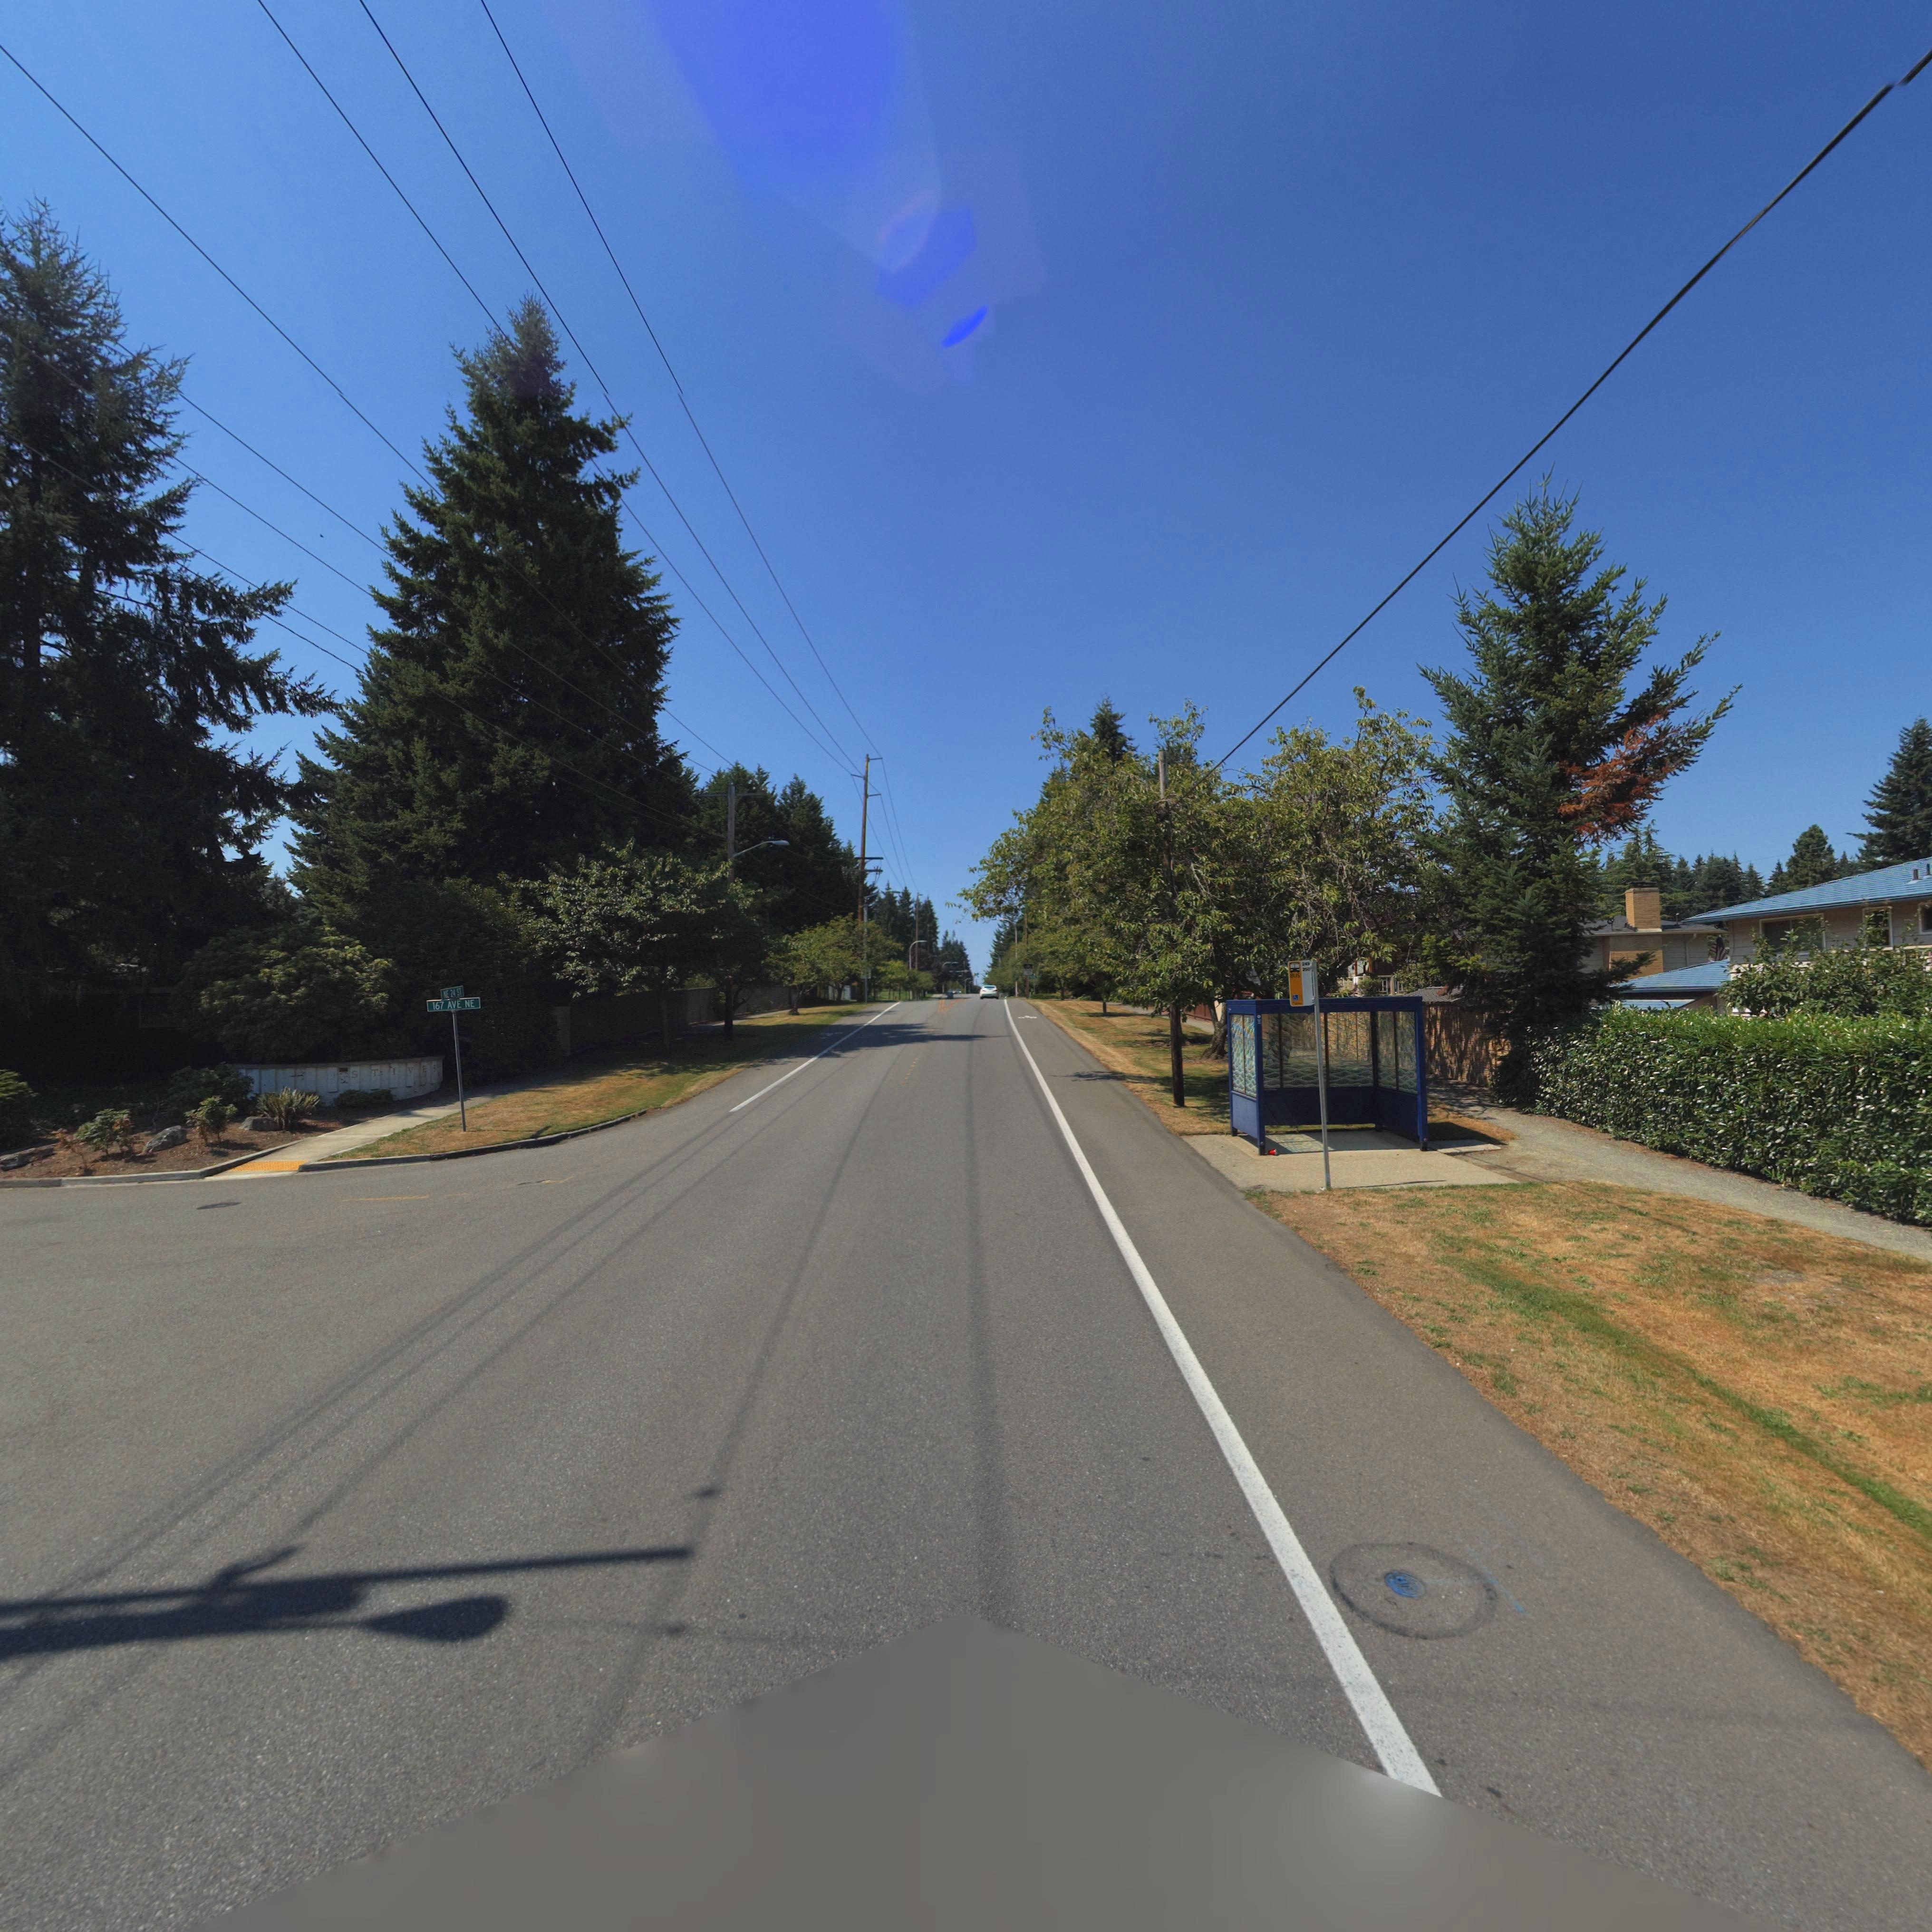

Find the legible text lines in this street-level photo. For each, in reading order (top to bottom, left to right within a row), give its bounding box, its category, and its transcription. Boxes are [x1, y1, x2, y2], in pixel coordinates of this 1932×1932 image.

[443, 987, 461, 998] StreetName: *E 24 ST
[433, 1000, 474, 1009] StreetName: 167 AVE NE